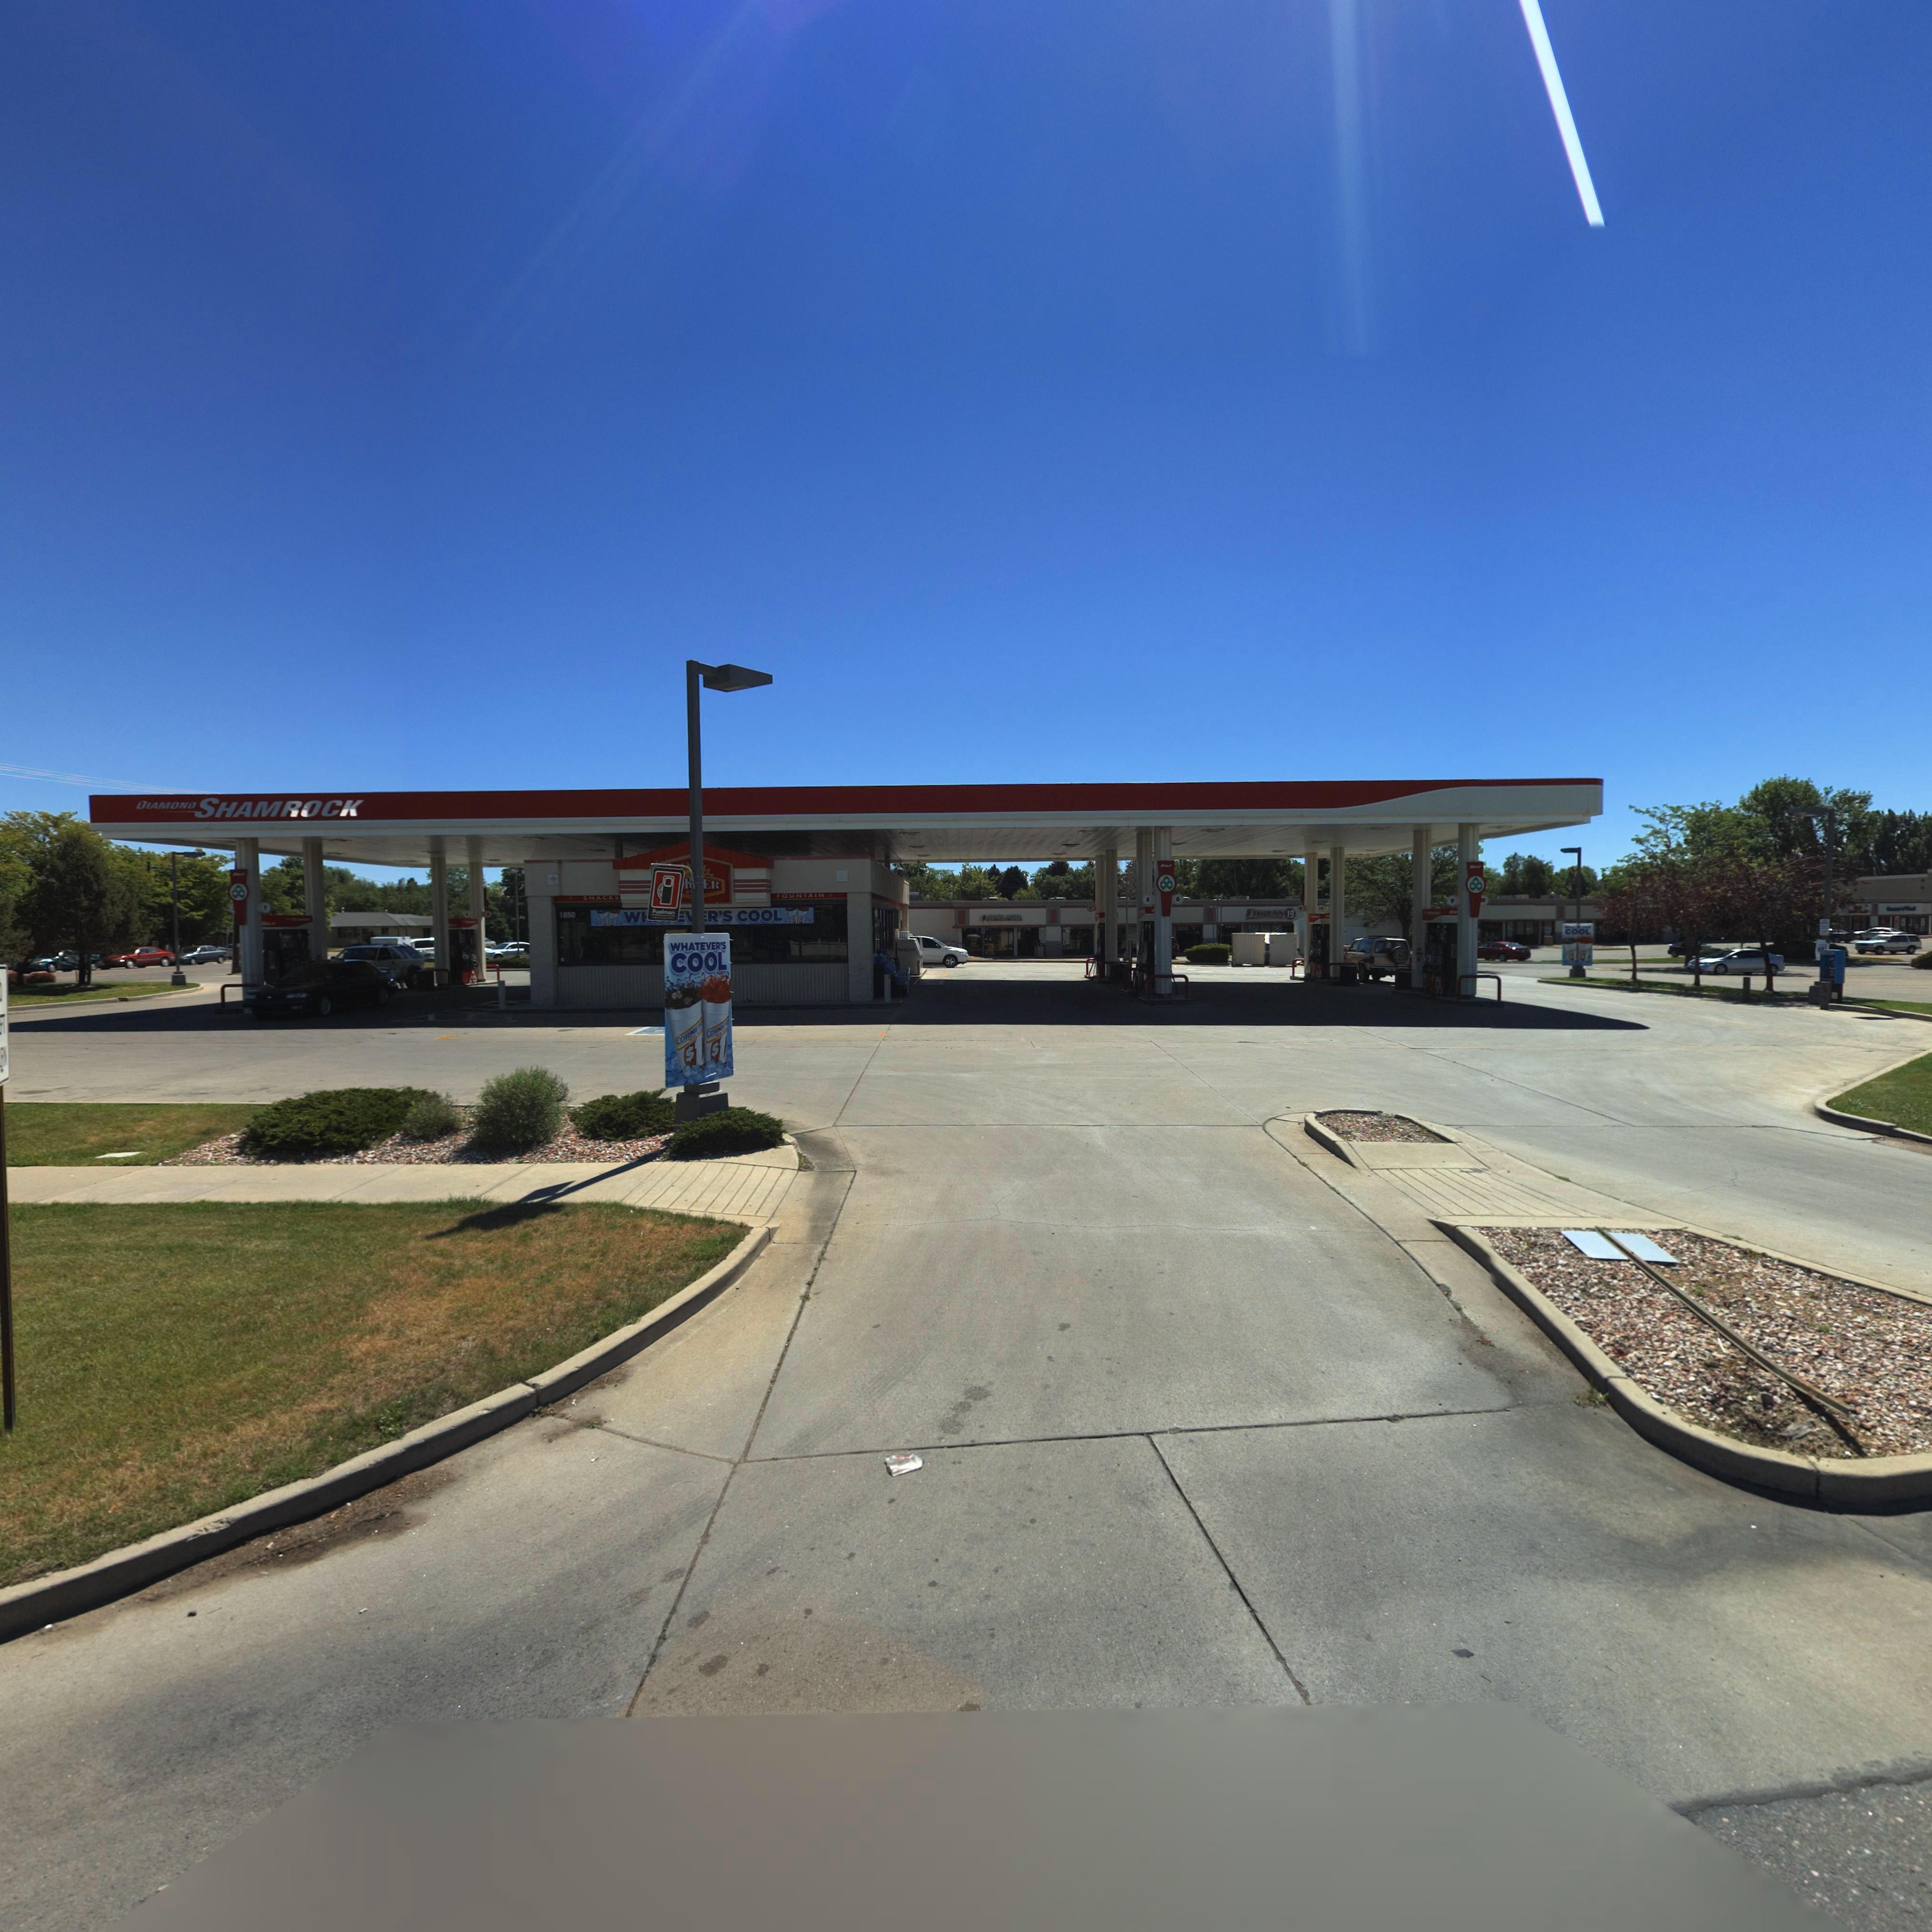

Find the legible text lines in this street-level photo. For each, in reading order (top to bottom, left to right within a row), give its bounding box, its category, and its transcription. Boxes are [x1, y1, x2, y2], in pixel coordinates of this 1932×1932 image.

[136, 800, 196, 809] BusinessName: DIAMOND
[193, 797, 365, 818] BusinessName: SHAMROCK
[684, 877, 719, 889] BusinessName: R*ER
[559, 911, 576, 918] StreetNumber: 1850
[1246, 908, 1294, 918] BusinessName: FIT**** 19